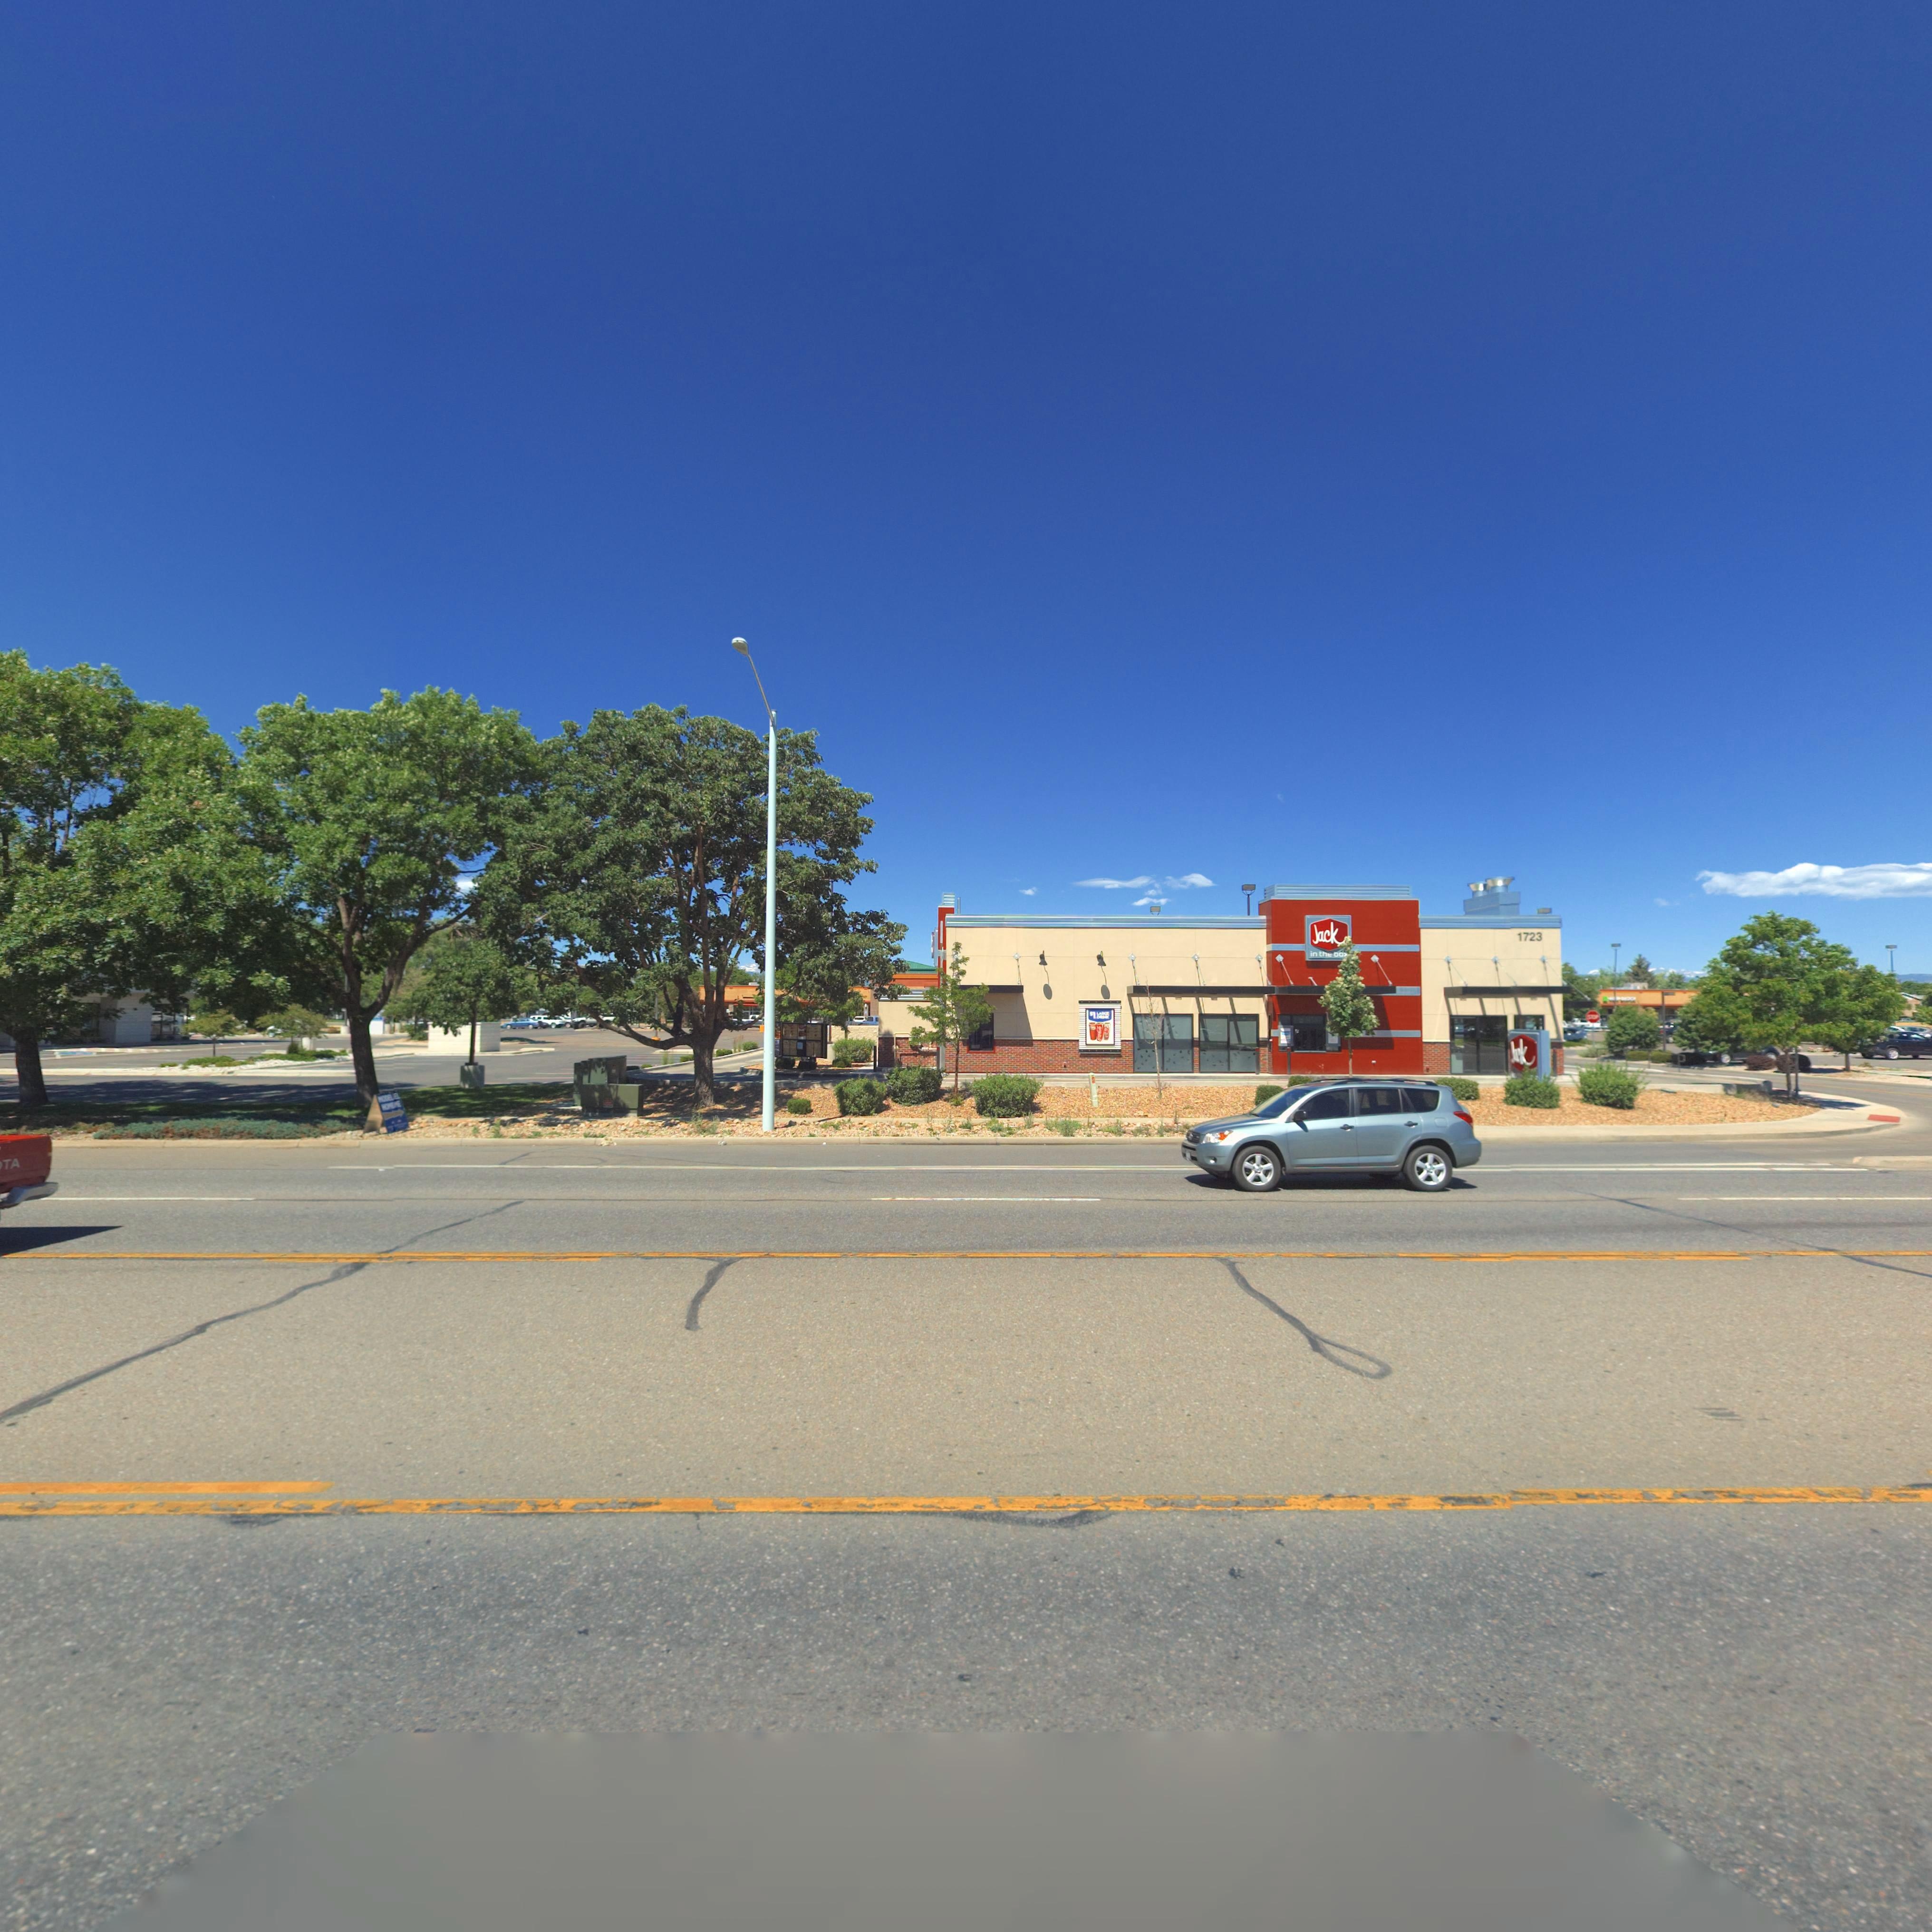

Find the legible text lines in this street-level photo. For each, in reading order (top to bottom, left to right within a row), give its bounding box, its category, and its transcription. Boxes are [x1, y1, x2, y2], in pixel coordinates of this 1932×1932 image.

[1311, 921, 1347, 947] BusinessName: Jack
[1517, 931, 1543, 942] StreetNumber: 1723
[1310, 950, 1348, 957] BusinessName: in the bo*
[1608, 996, 1636, 1001] BusinessName: *** **OC*
[1509, 1037, 1536, 1067] BusinessName: Jack